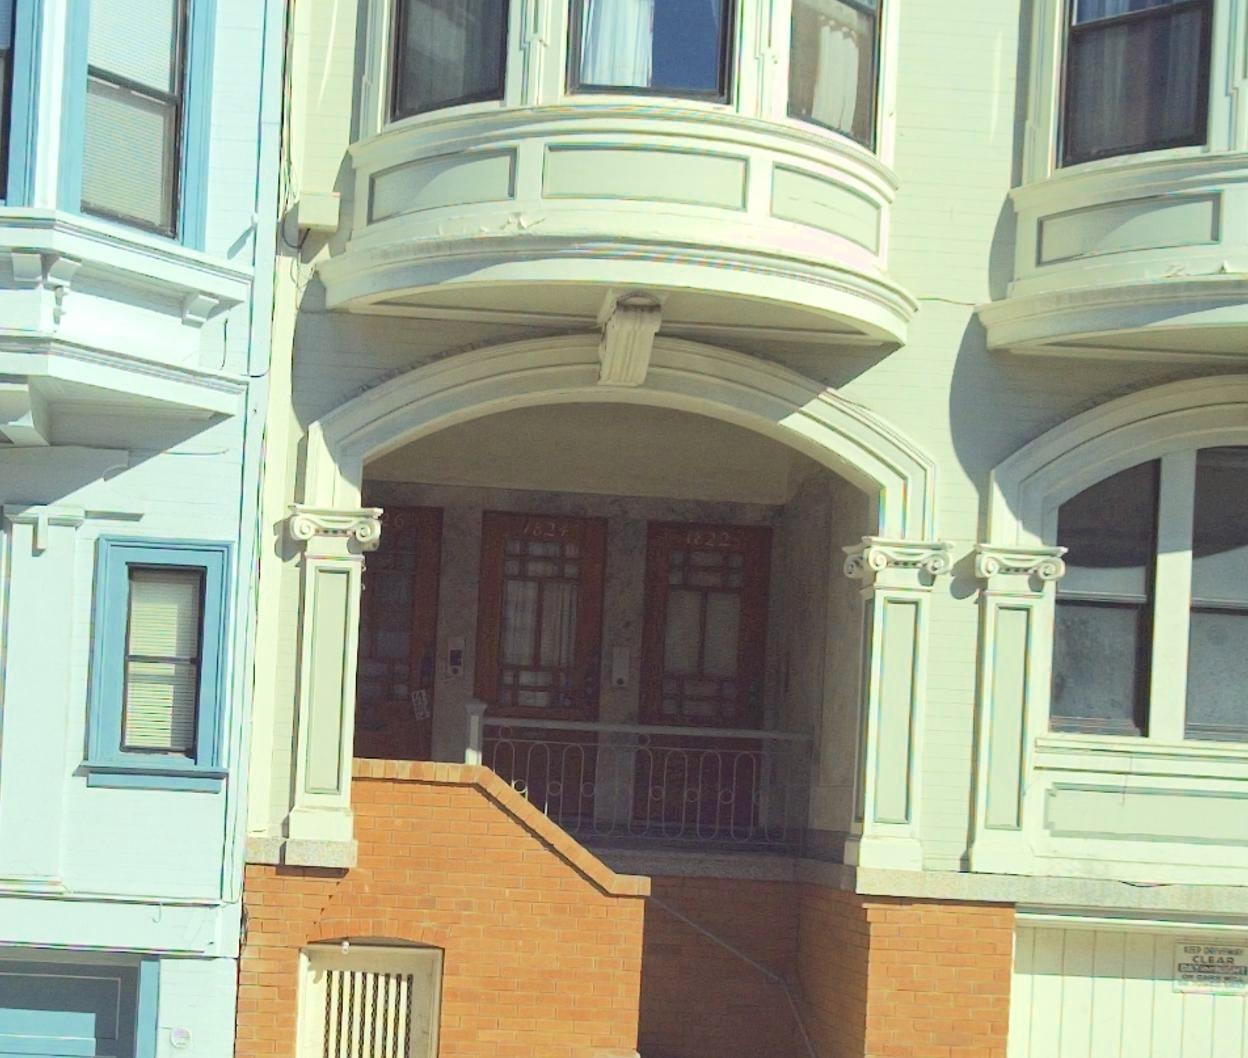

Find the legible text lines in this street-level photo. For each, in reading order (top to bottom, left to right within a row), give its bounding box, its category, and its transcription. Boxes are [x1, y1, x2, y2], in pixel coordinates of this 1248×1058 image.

[392, 511, 405, 531] StreetNumber: 6
[519, 519, 569, 540] StreetNumber: 1824
[683, 528, 732, 549] StreetNumber: 1822
[1190, 953, 1236, 967] None: CLEAR